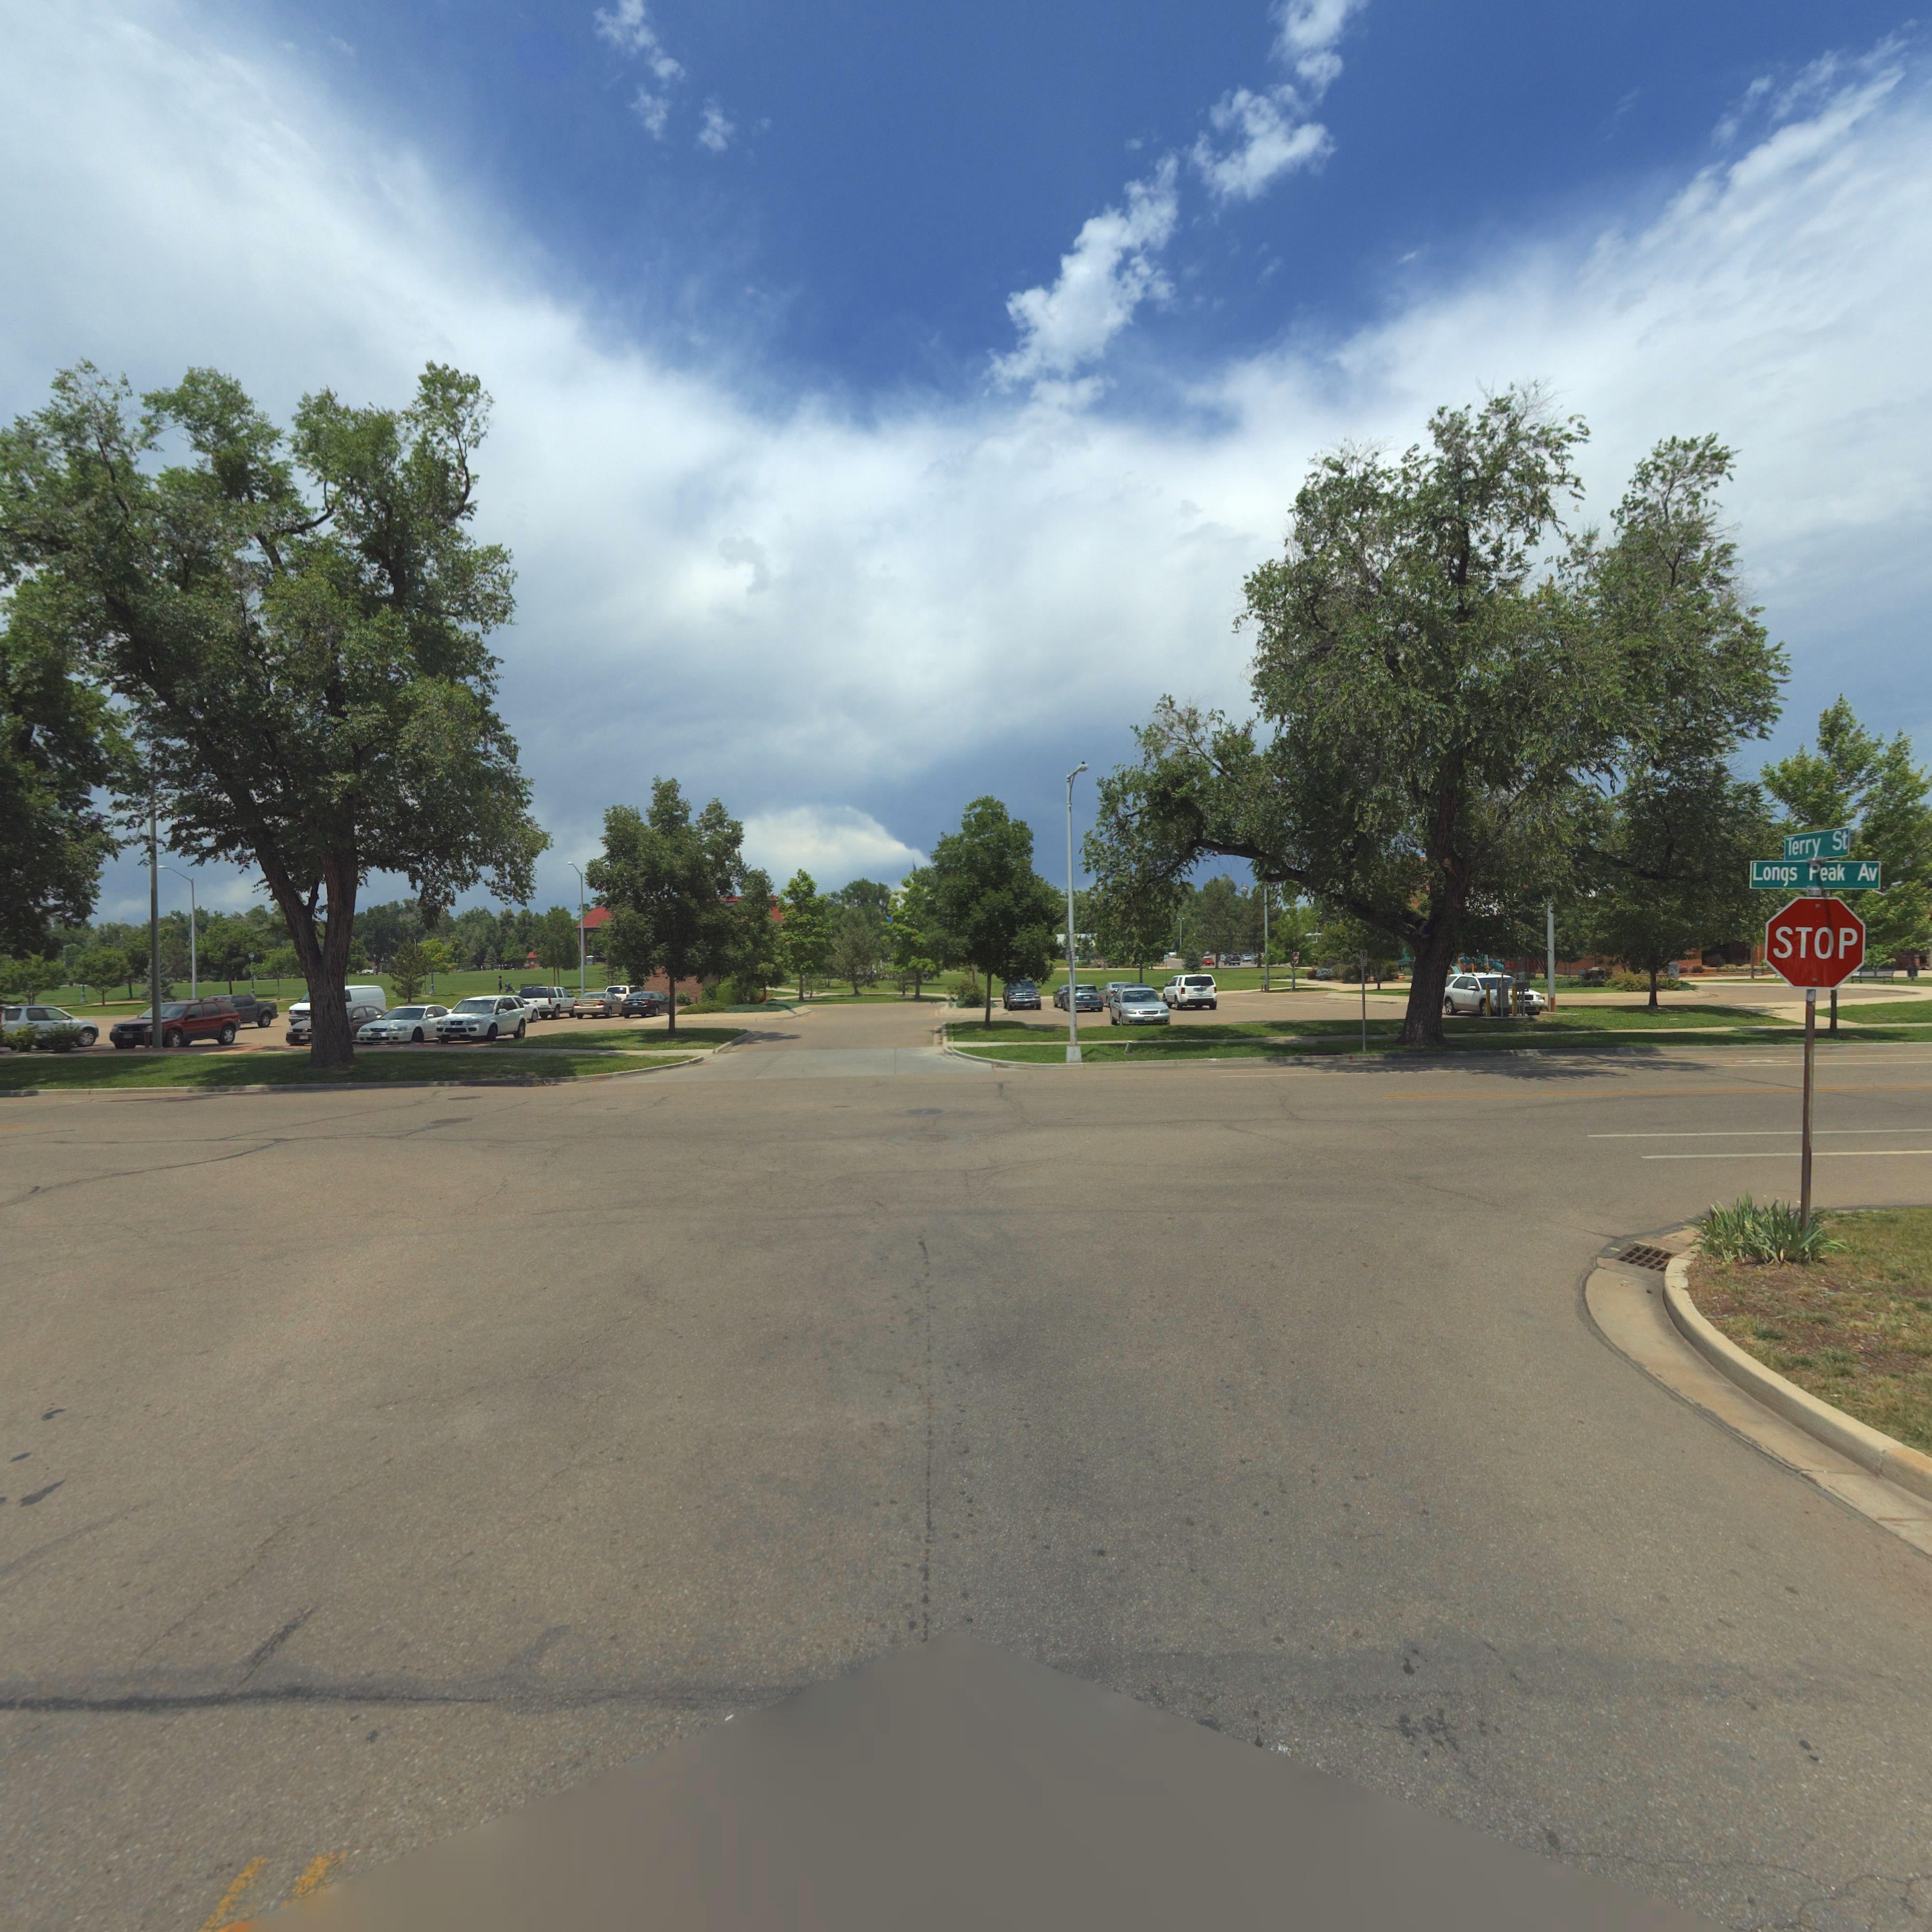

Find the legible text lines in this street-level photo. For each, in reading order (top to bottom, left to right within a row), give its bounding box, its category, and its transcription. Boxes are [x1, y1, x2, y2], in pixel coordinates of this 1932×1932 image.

[1785, 830, 1848, 857] StreetName: Terry St
[1752, 862, 1878, 887] StreetName: Longs Peak Av